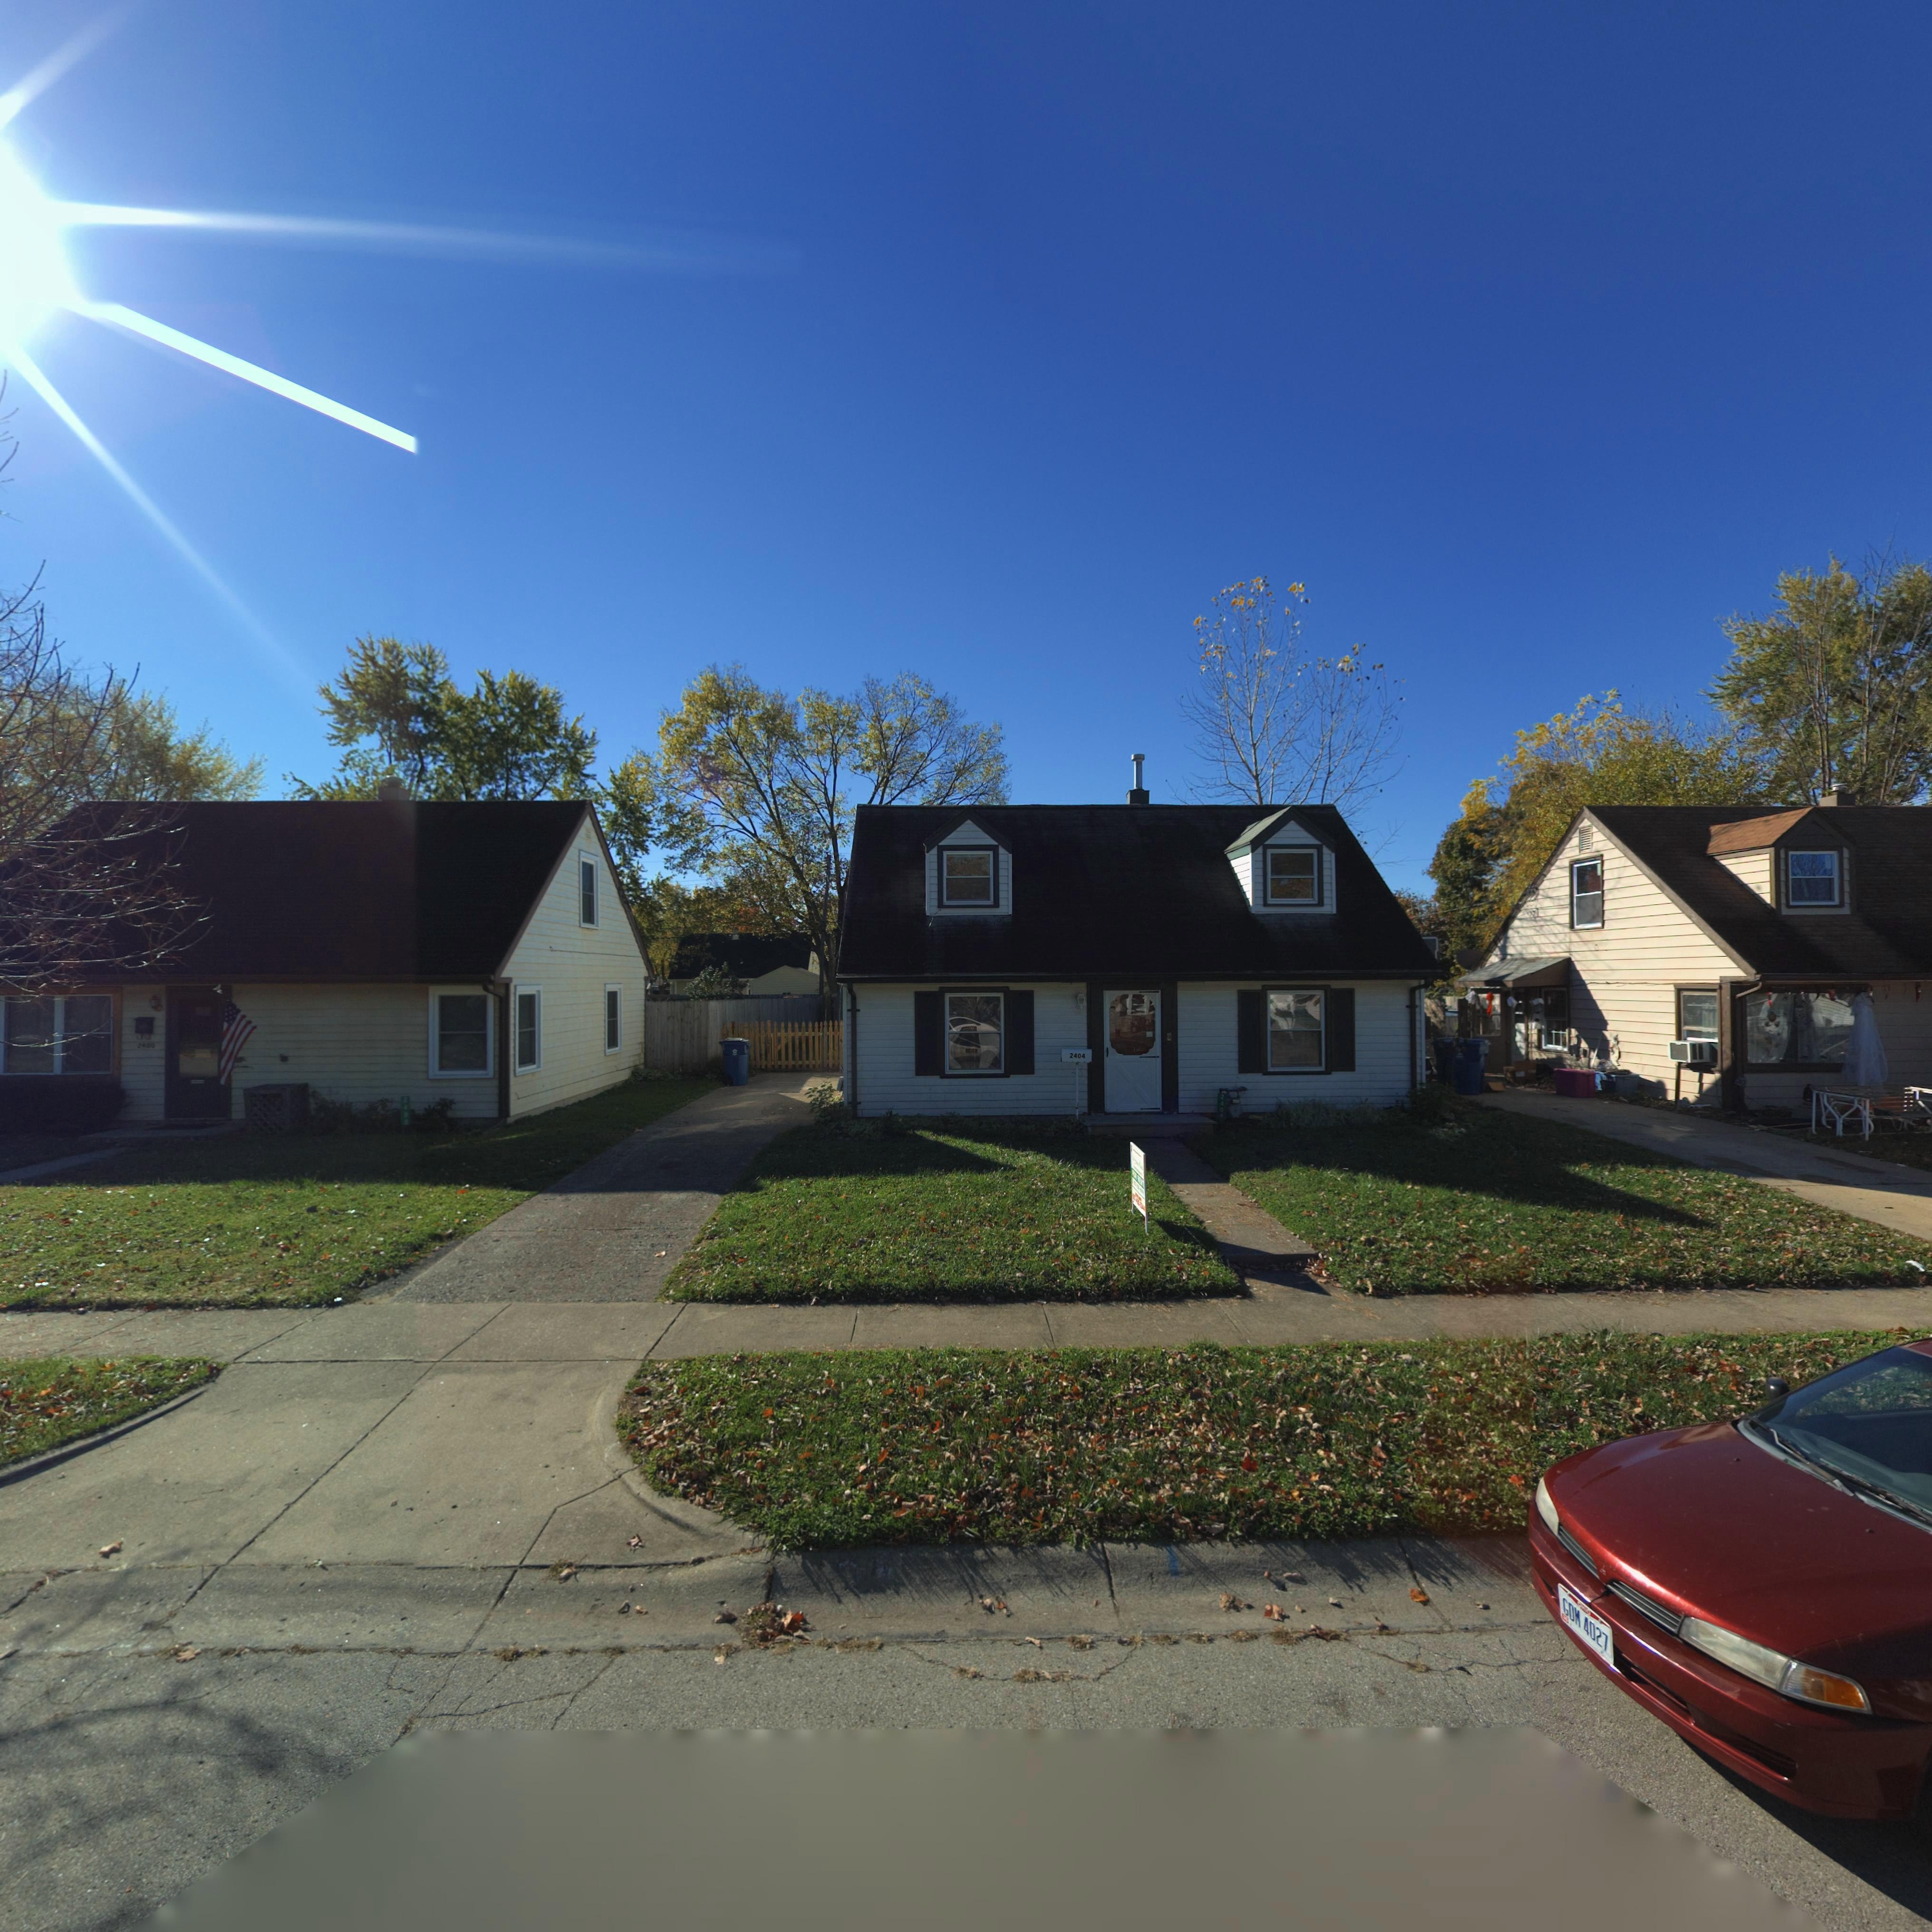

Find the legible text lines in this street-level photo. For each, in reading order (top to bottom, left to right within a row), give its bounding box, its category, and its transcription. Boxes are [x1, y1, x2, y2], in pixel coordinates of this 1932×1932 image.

[136, 1042, 156, 1049] StreetNumber: 2400
[1069, 1052, 1086, 1059] StreetNumber: 2404
[401, 1095, 410, 1126] StreetNumber: 2400
[1218, 1093, 1225, 1119] StreetNumber: 2404